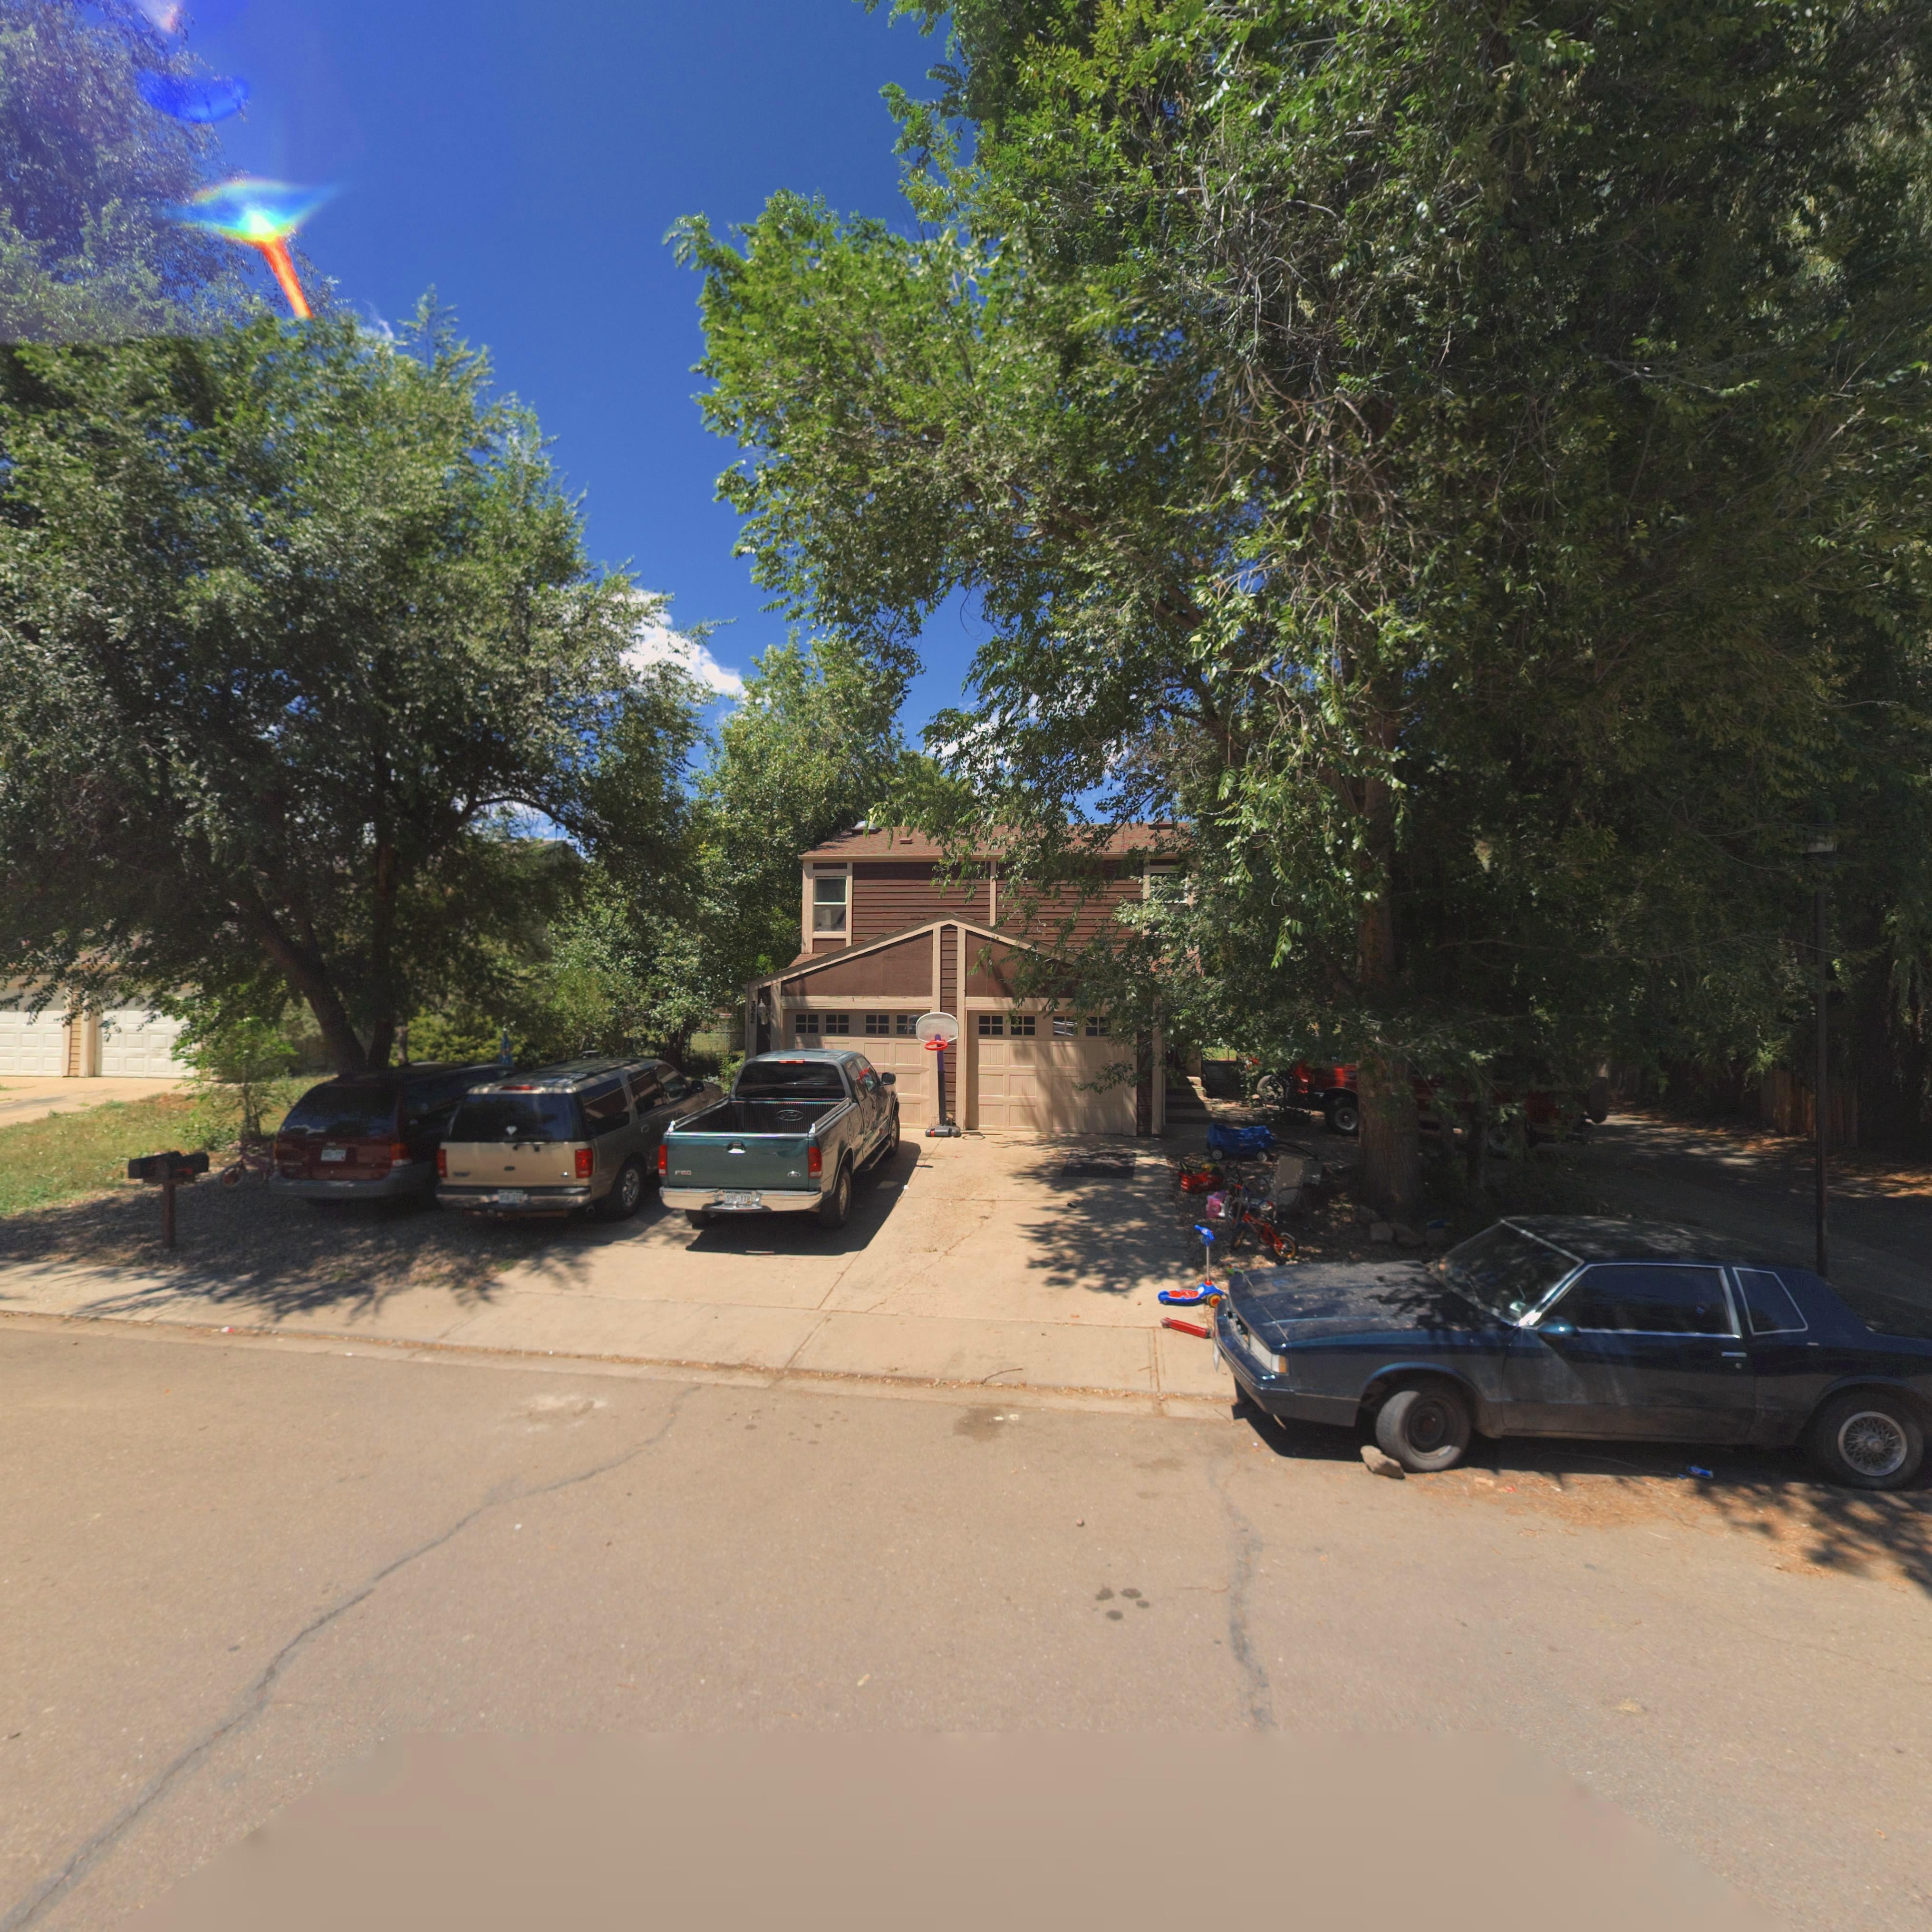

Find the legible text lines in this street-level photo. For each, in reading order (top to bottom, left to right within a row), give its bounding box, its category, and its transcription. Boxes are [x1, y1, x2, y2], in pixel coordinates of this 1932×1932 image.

[749, 1000, 755, 1023] StreetNumber: 322
[1154, 1003, 1160, 1026] StreetNumber: *2*